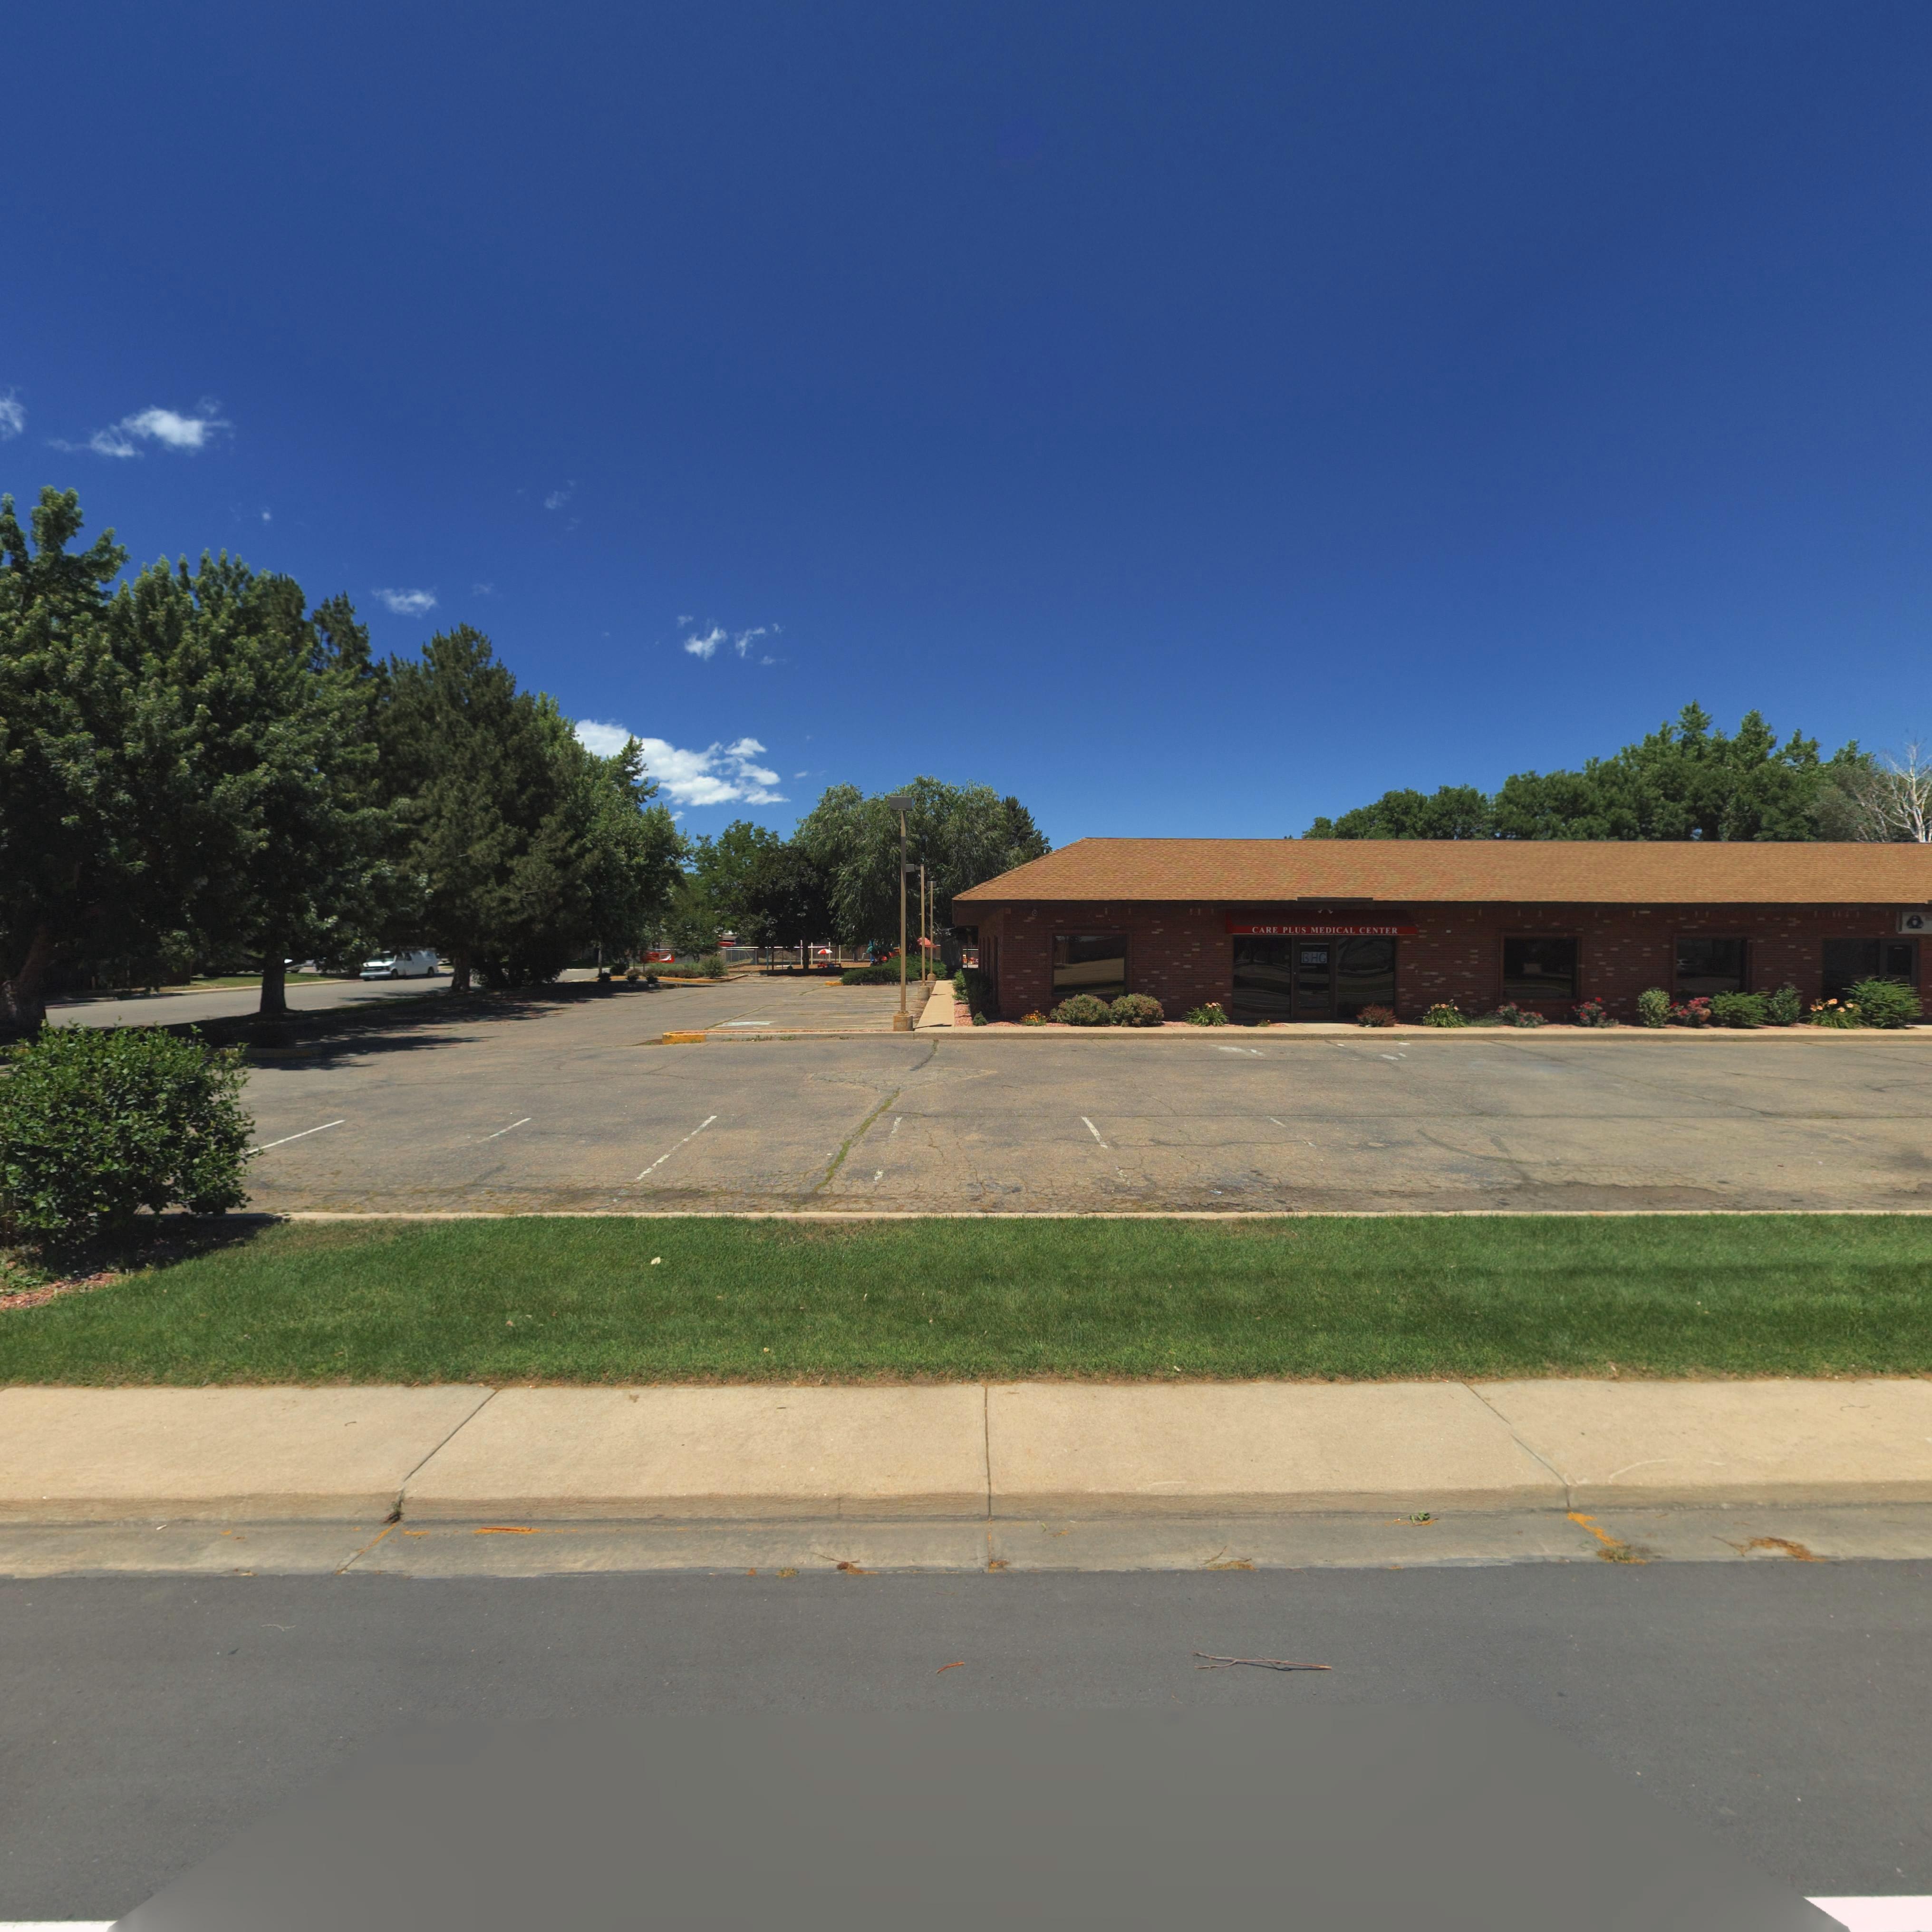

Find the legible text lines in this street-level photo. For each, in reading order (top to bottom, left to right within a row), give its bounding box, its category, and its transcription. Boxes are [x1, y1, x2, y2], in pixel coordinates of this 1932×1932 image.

[1252, 927, 1397, 933] BusinessName: CARE PLUS MEDICAL CENTER